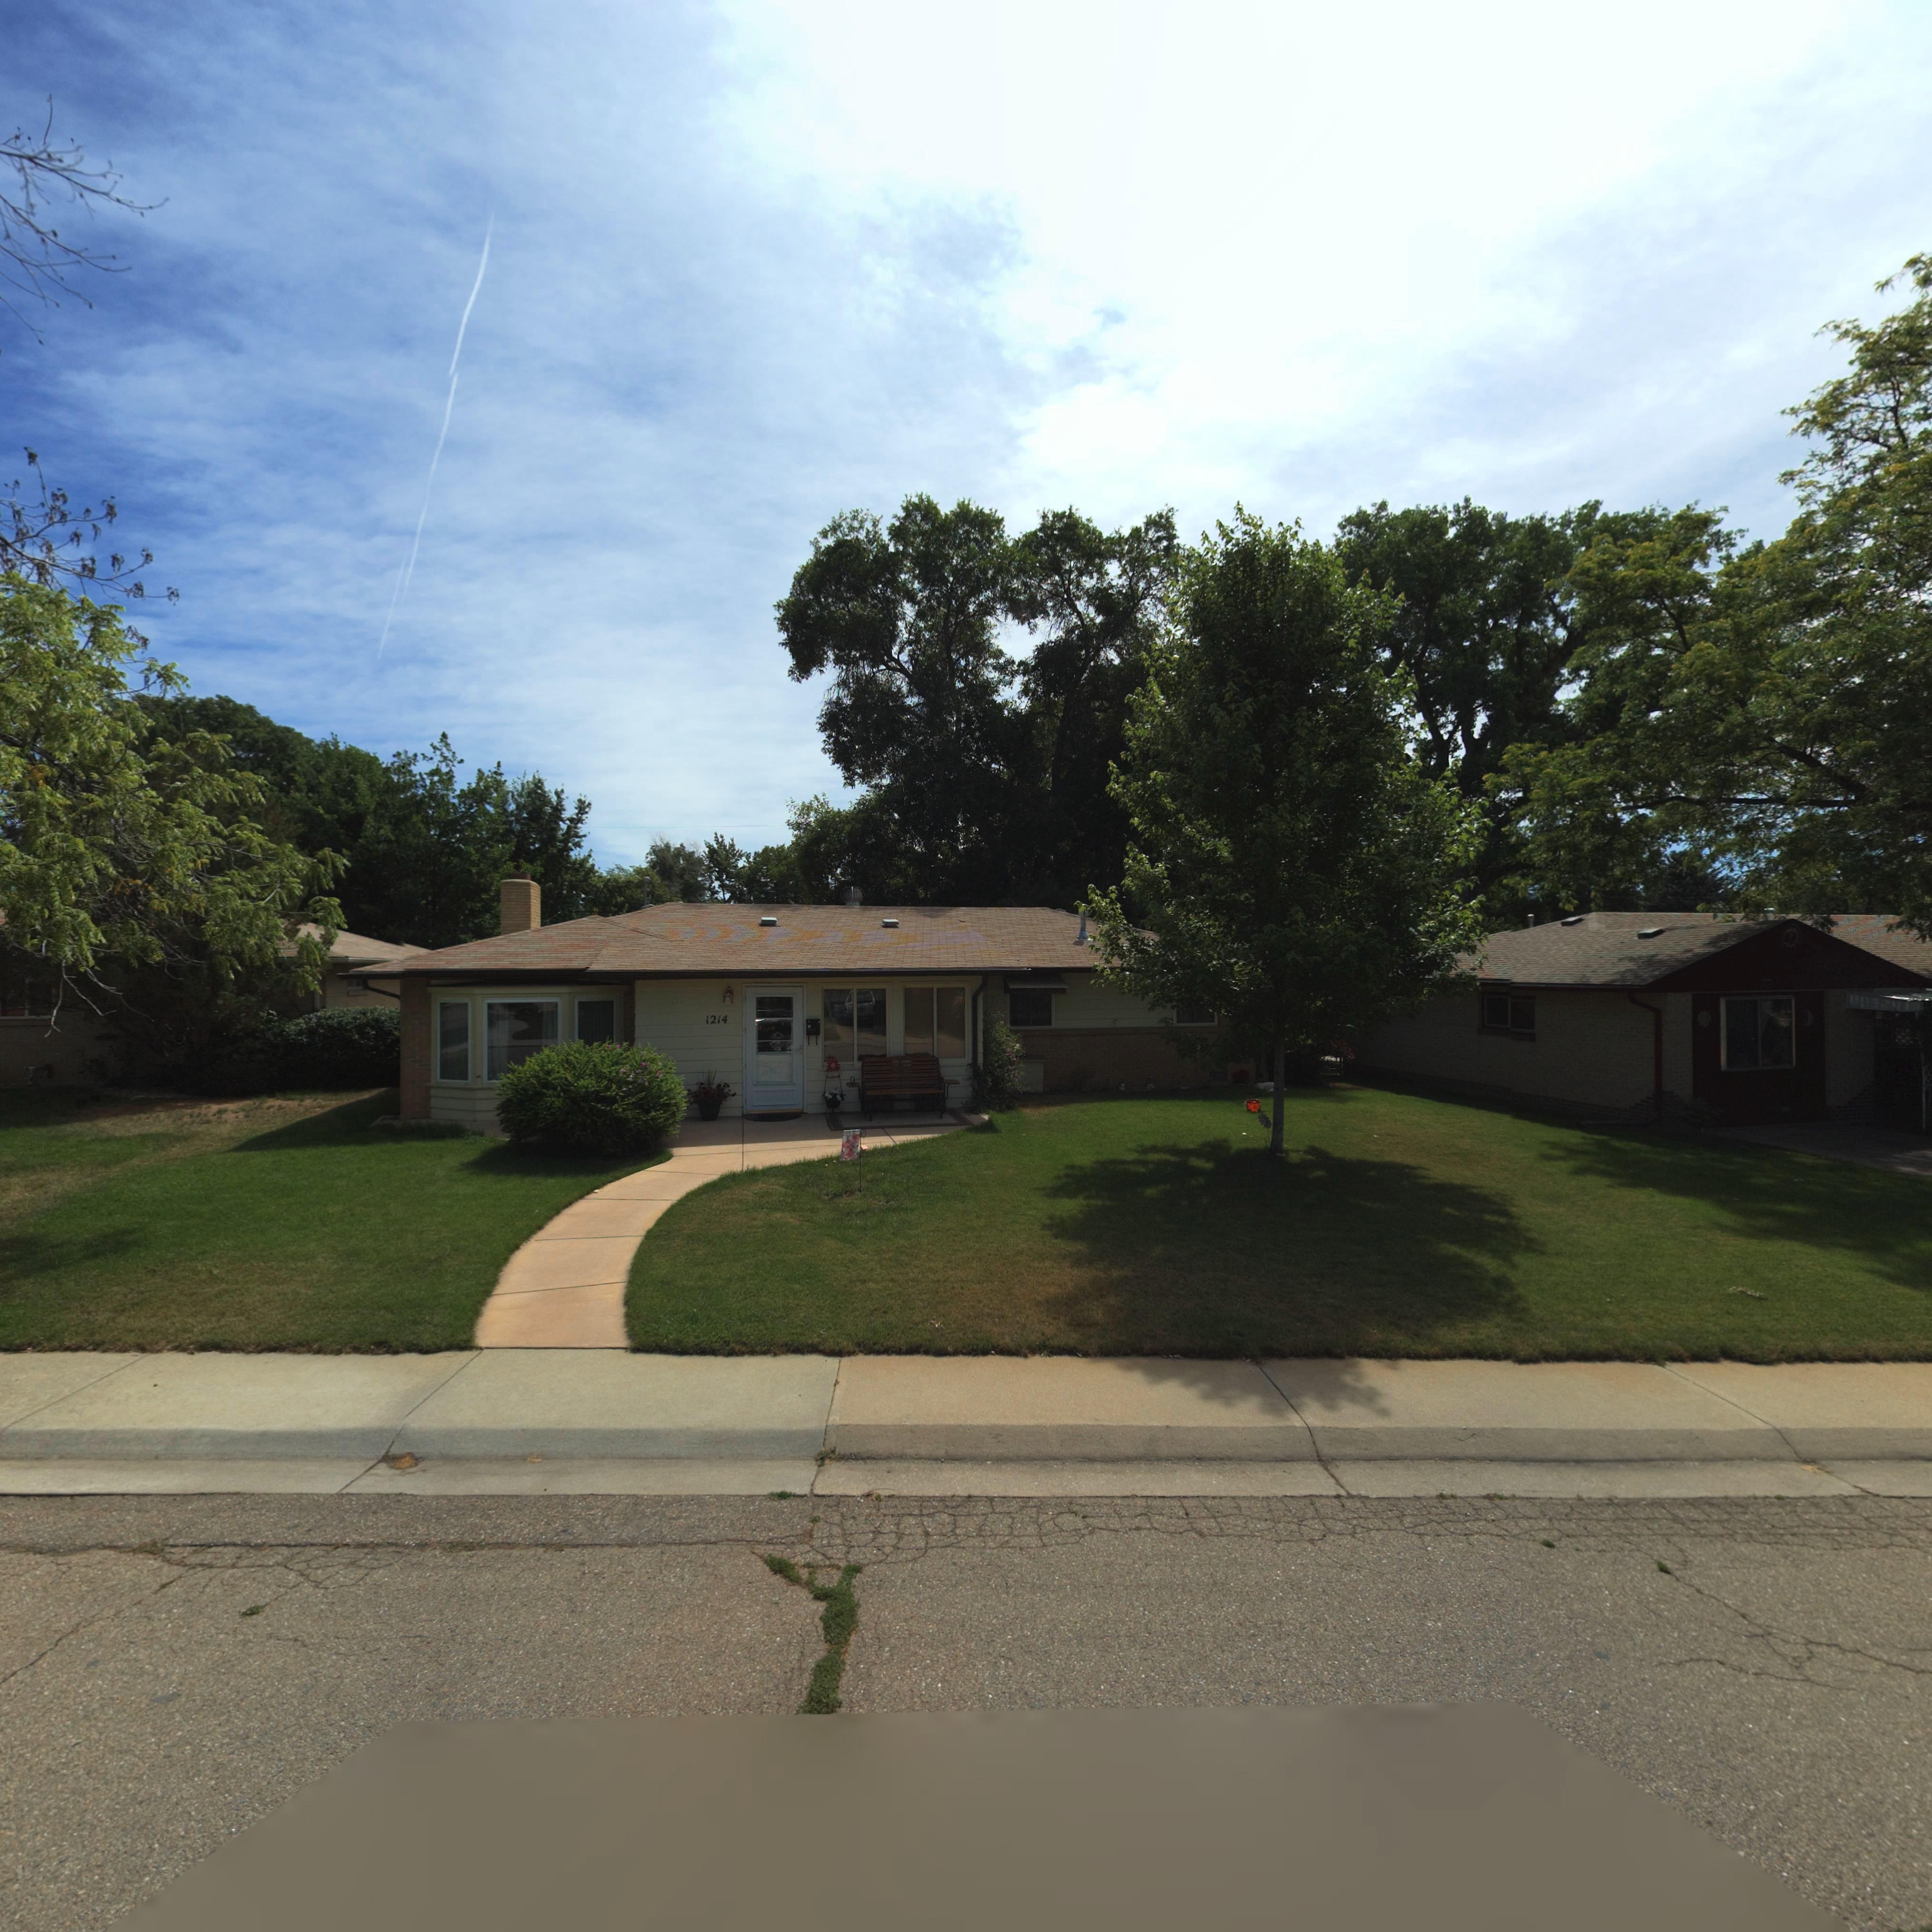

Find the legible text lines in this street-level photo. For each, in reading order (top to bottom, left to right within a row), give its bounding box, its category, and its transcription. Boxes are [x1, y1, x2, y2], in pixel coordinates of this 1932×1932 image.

[705, 1014, 727, 1024] StreetNumber: 1214